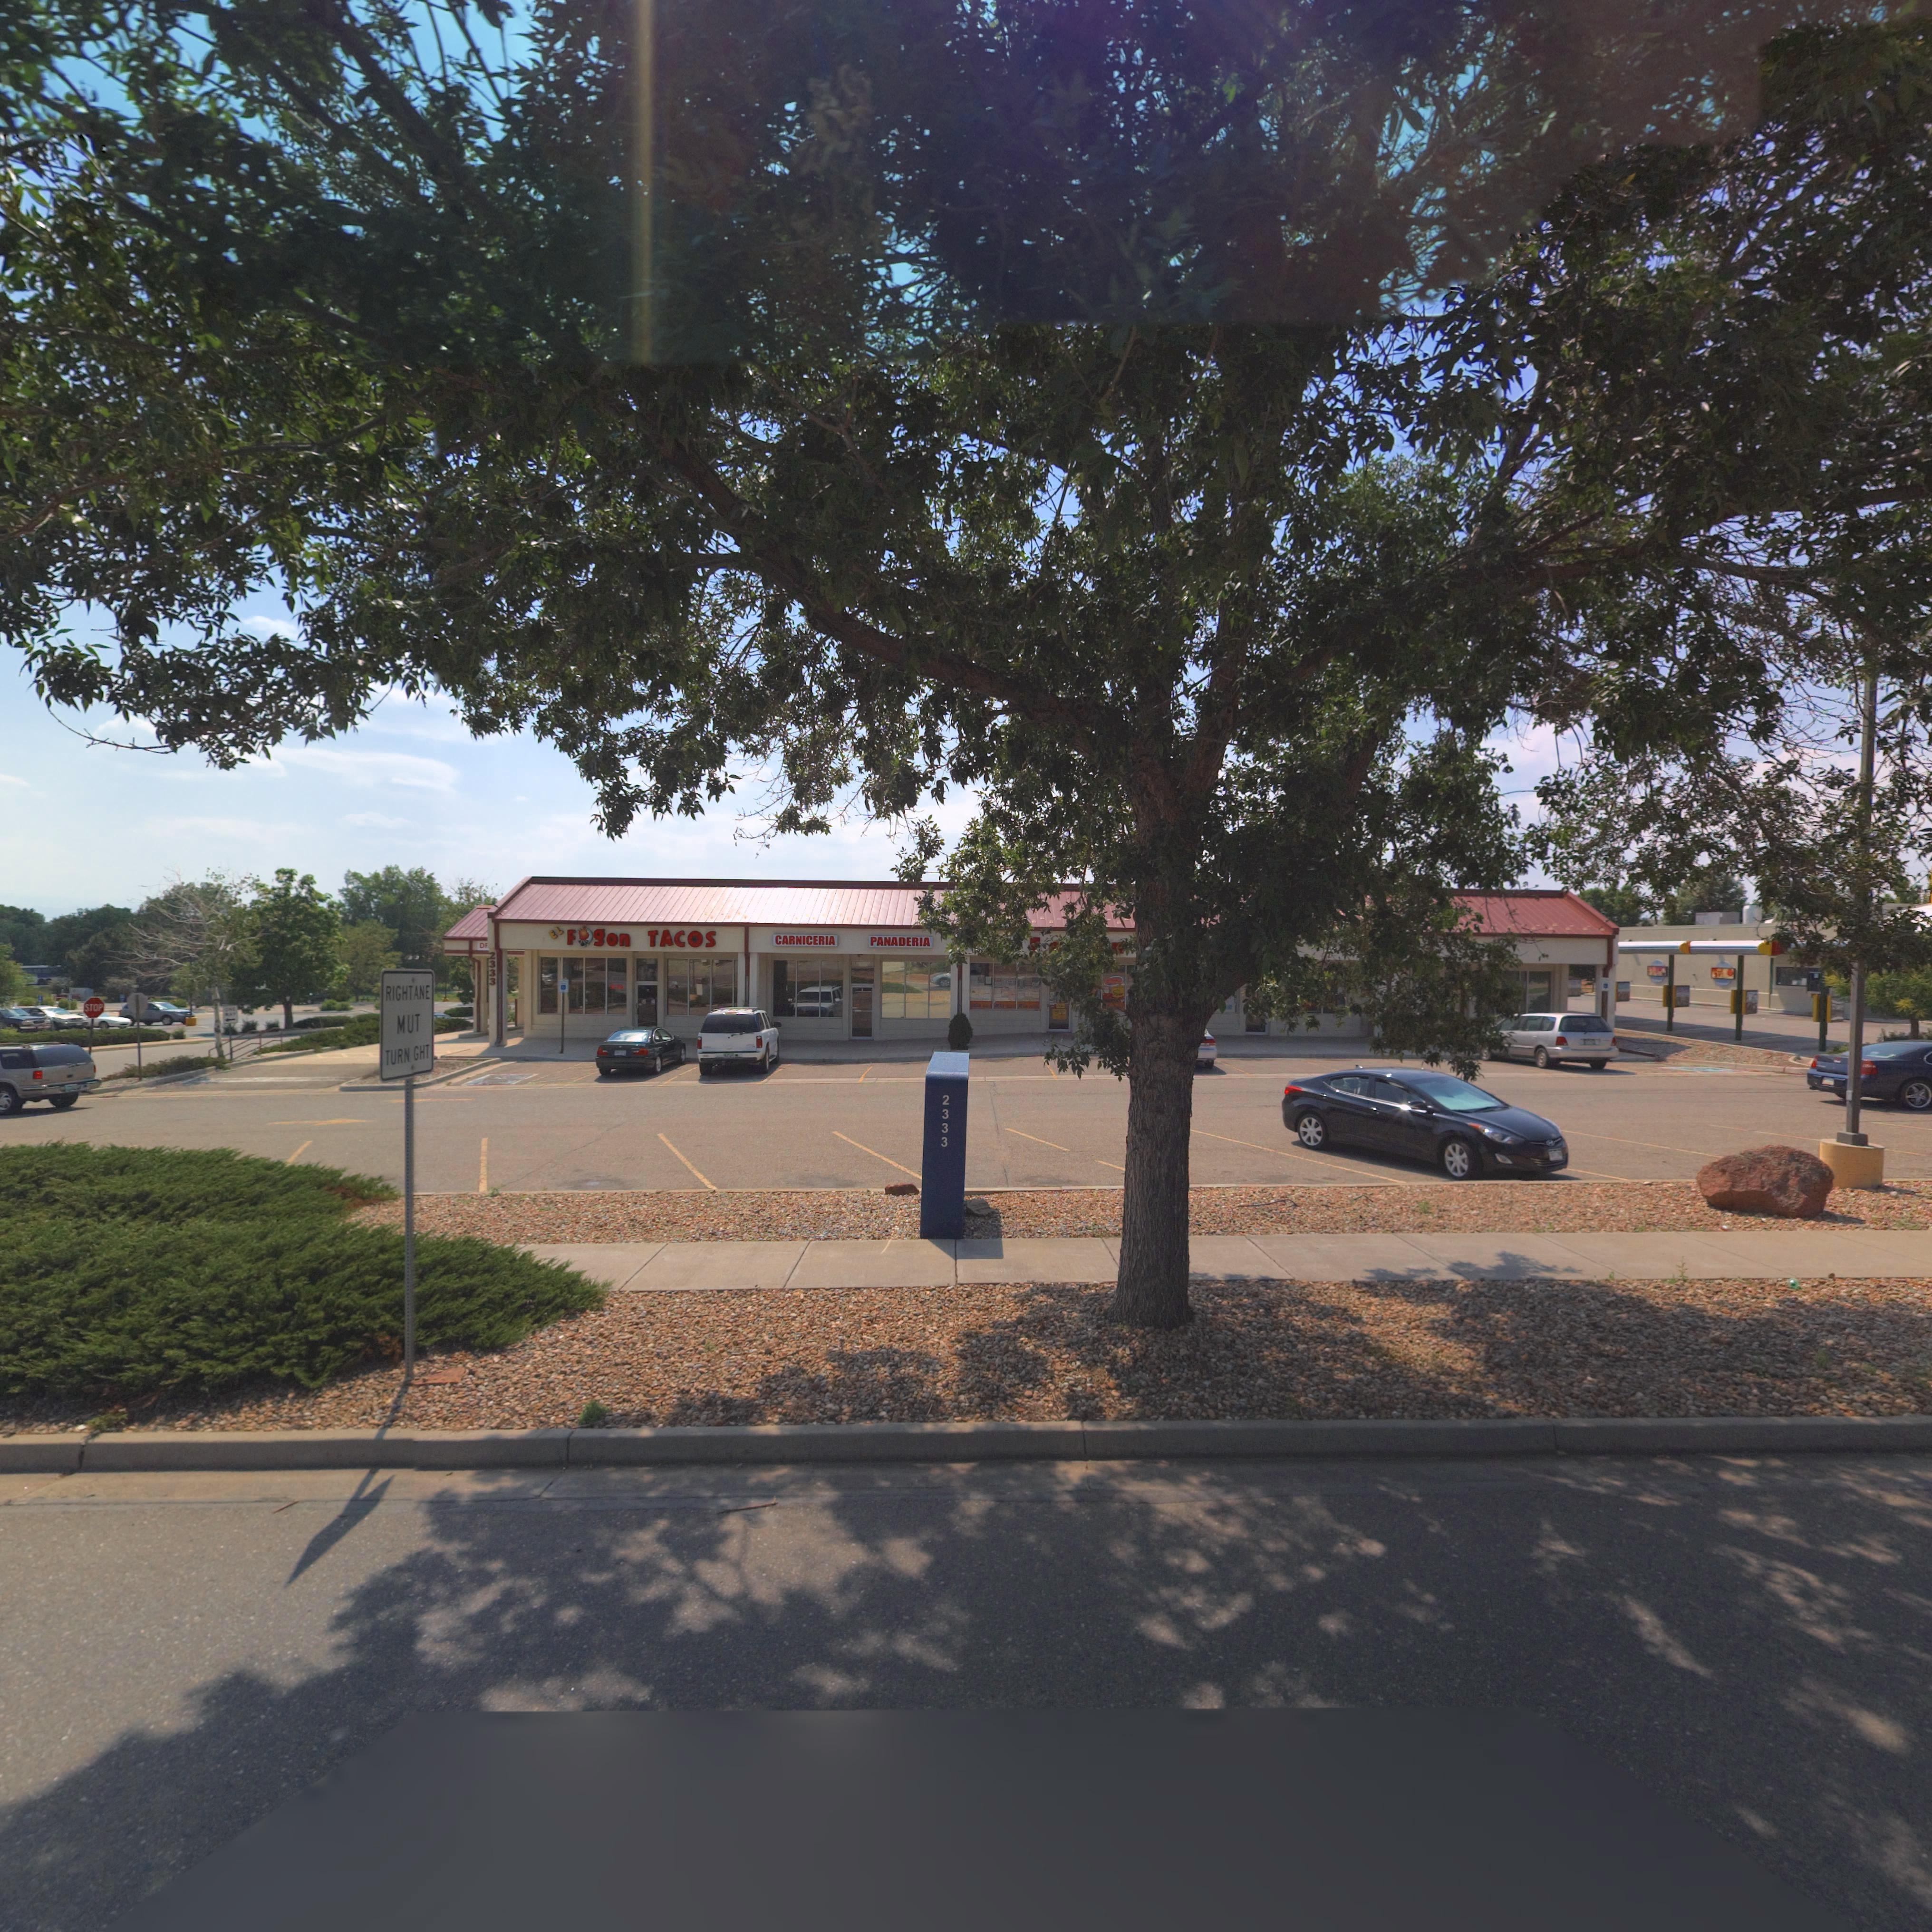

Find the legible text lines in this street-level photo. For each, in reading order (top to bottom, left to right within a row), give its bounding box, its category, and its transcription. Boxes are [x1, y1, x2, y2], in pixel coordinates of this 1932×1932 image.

[479, 942, 484, 948] BusinessName: D
[547, 926, 564, 940] BusinessName: EL
[566, 927, 717, 948] BusinessName: F*gon TACOS
[488, 951, 496, 986] StreetNumber: 2333
[940, 1094, 950, 1148] StreetNumber: 2333